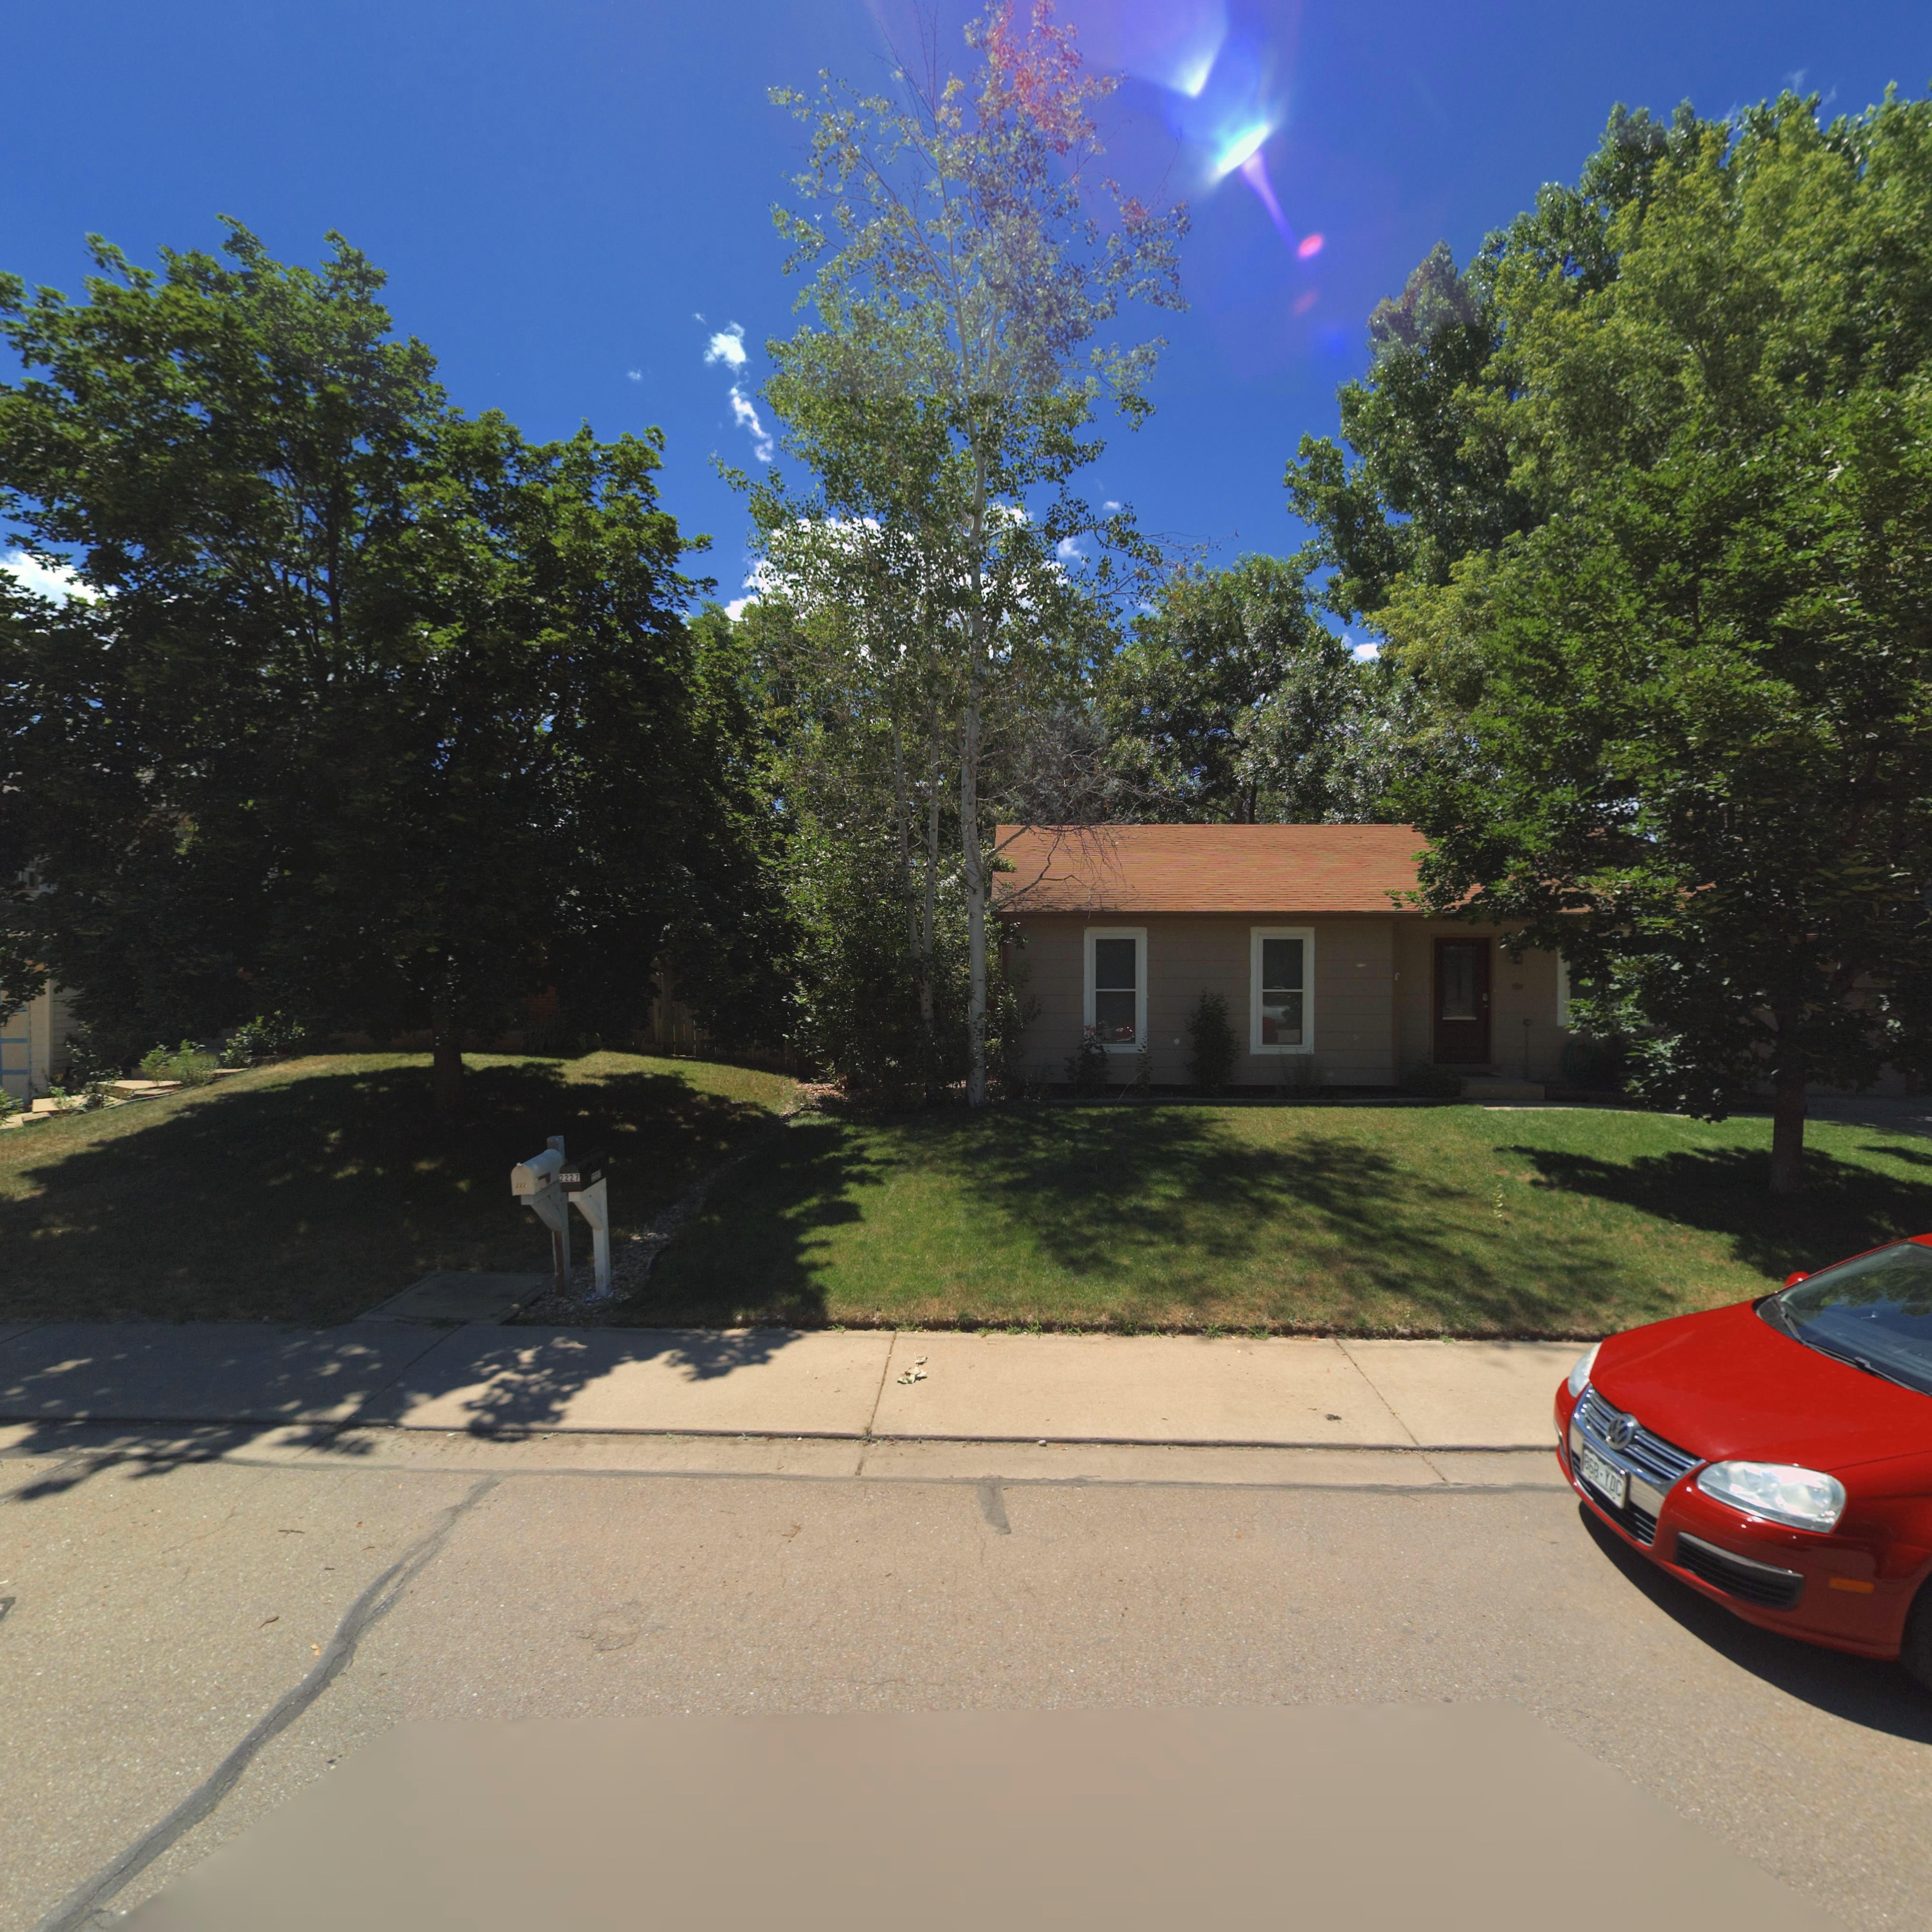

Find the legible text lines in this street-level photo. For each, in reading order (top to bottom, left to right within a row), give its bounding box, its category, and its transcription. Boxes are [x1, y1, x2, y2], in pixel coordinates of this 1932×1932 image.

[559, 1174, 578, 1181] StreetNumber: 2227
[591, 1169, 601, 1181] StreetNumber: 2227
[515, 1182, 529, 1188] StreetNumber: 2221